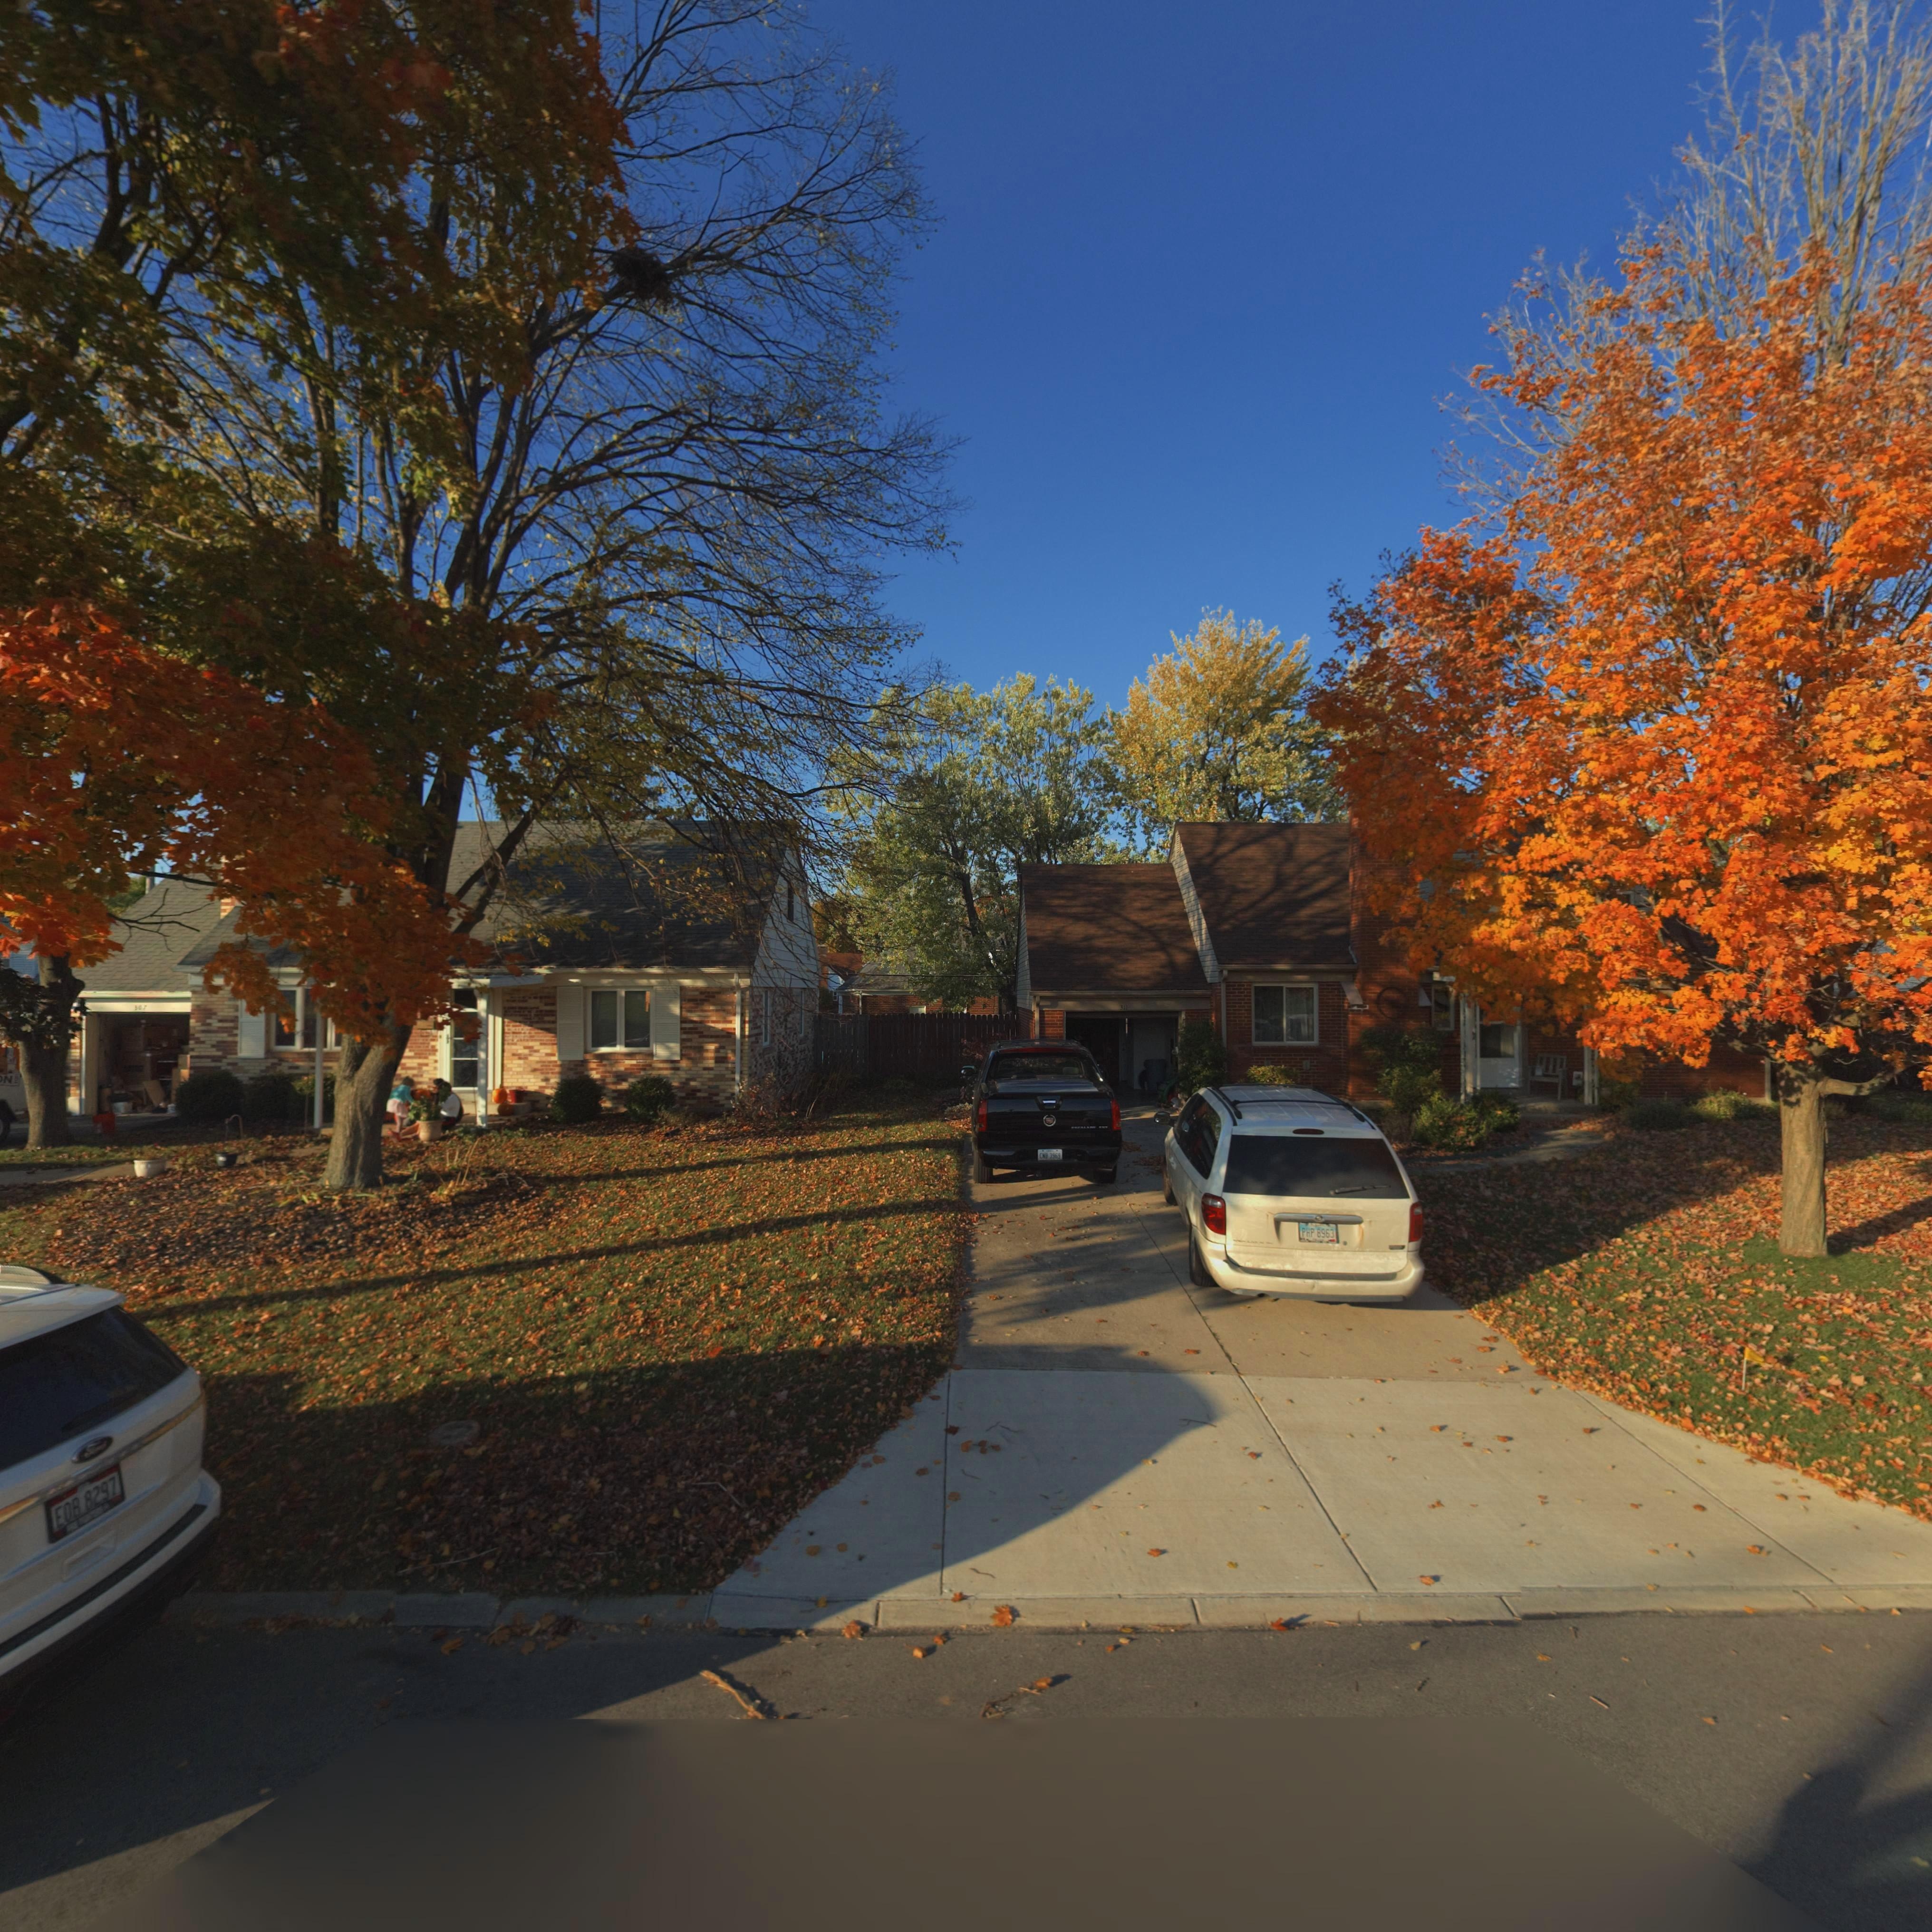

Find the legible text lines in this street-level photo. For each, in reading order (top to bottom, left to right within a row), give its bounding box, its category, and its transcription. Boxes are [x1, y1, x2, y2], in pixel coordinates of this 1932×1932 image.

[133, 1003, 147, 1012] StreetNumber: 307
[1119, 1004, 1129, 1011] StreetNumber: 311